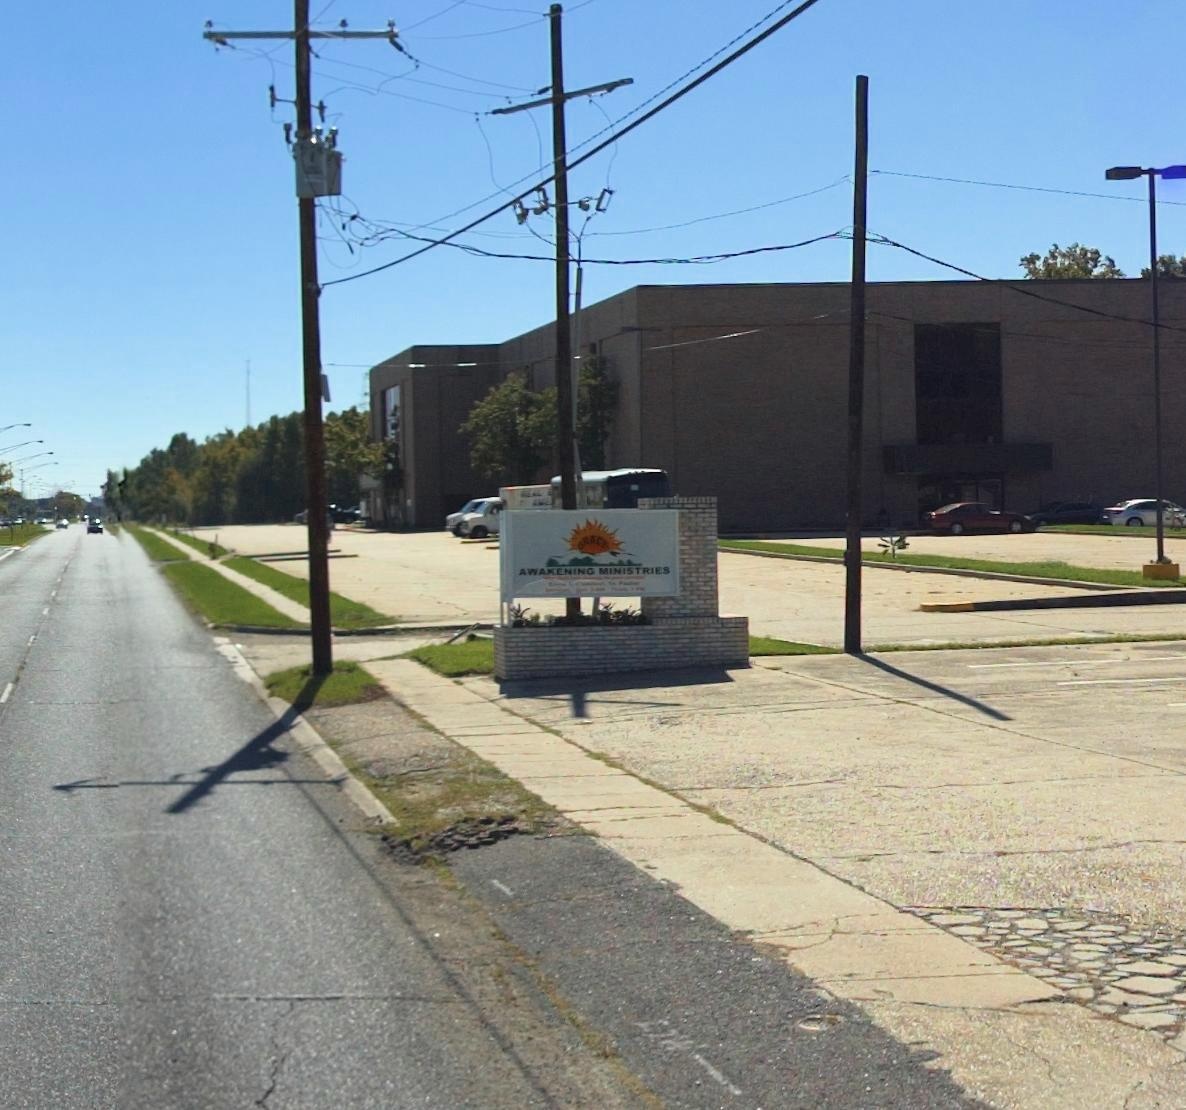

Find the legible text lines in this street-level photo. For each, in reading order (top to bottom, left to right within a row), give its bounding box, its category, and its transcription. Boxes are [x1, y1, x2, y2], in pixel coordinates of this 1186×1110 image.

[572, 532, 611, 553] BusinessName: GRACE
[516, 564, 672, 578] BusinessName: AWAKENING MINISTRIES